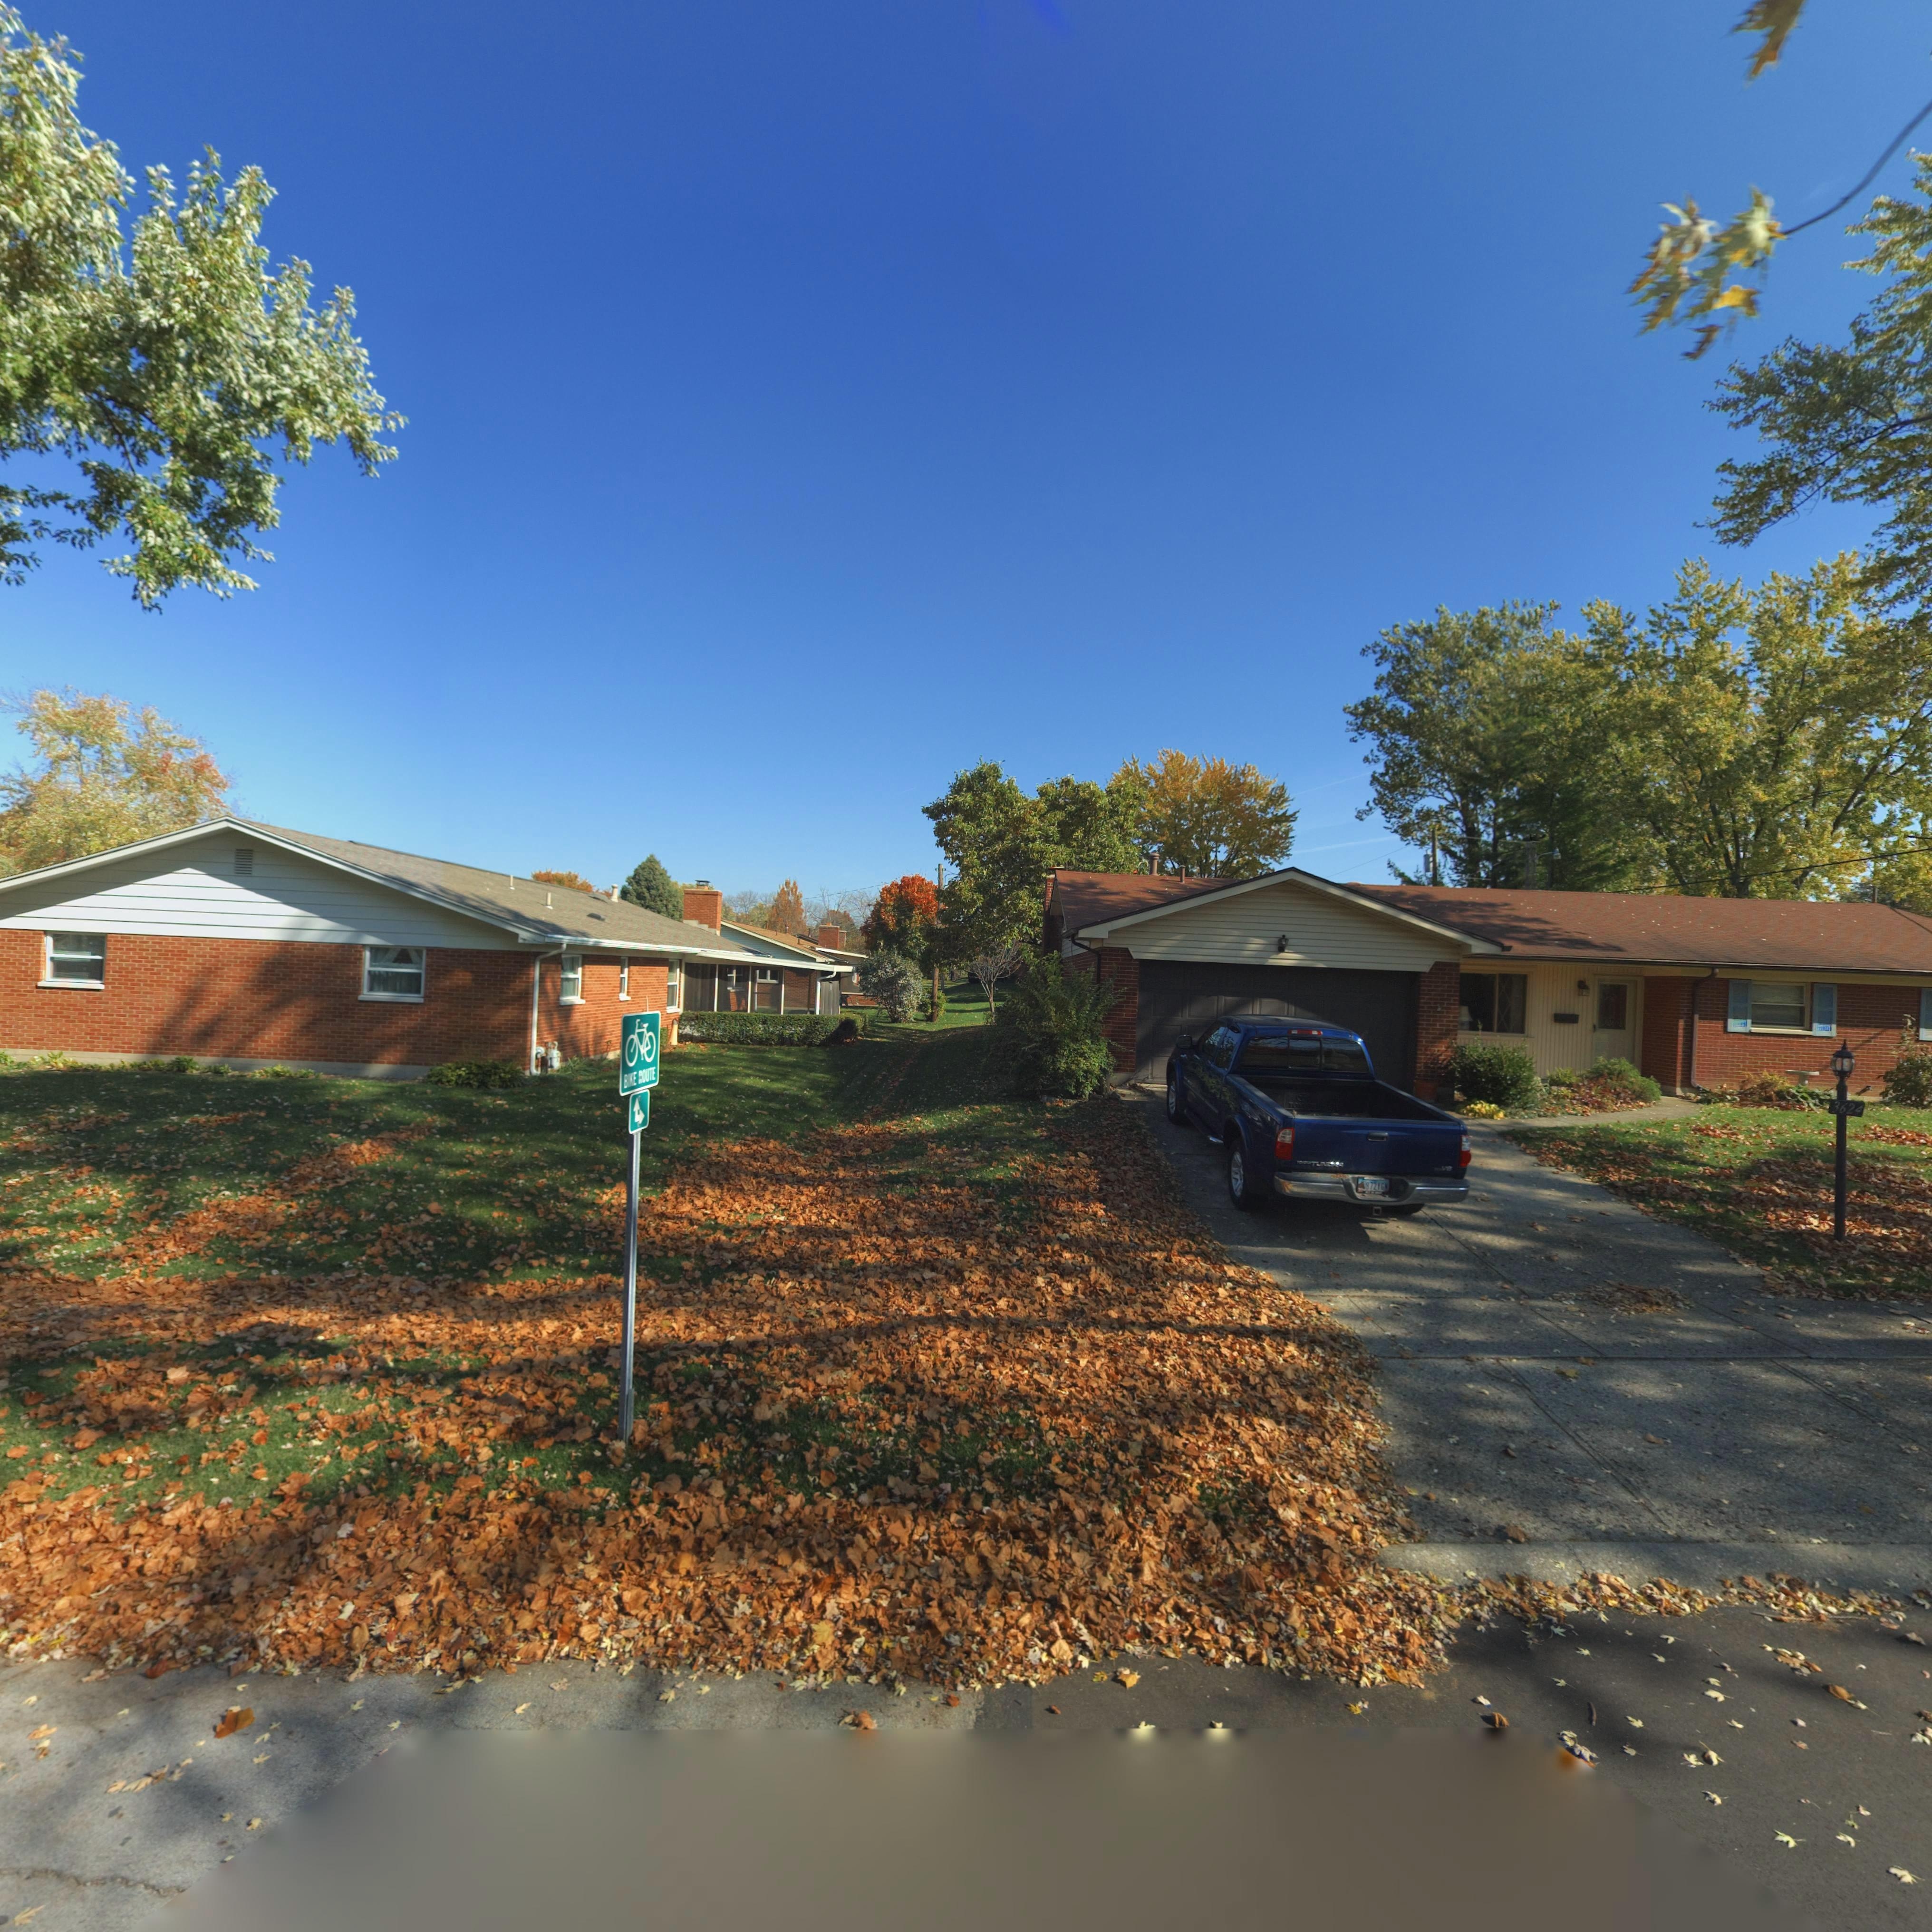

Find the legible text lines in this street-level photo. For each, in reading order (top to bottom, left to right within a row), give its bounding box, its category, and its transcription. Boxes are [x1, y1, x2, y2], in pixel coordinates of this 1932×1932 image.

[622, 1063, 657, 1092] None: BIKE *OUTE
[1829, 1100, 1865, 1118] StreetNumber: 3624
[1310, 1159, 1346, 1169] None: TUN**A
[1440, 1164, 1454, 1173] None: V8
[1364, 1179, 1386, 1192] None: *72YG